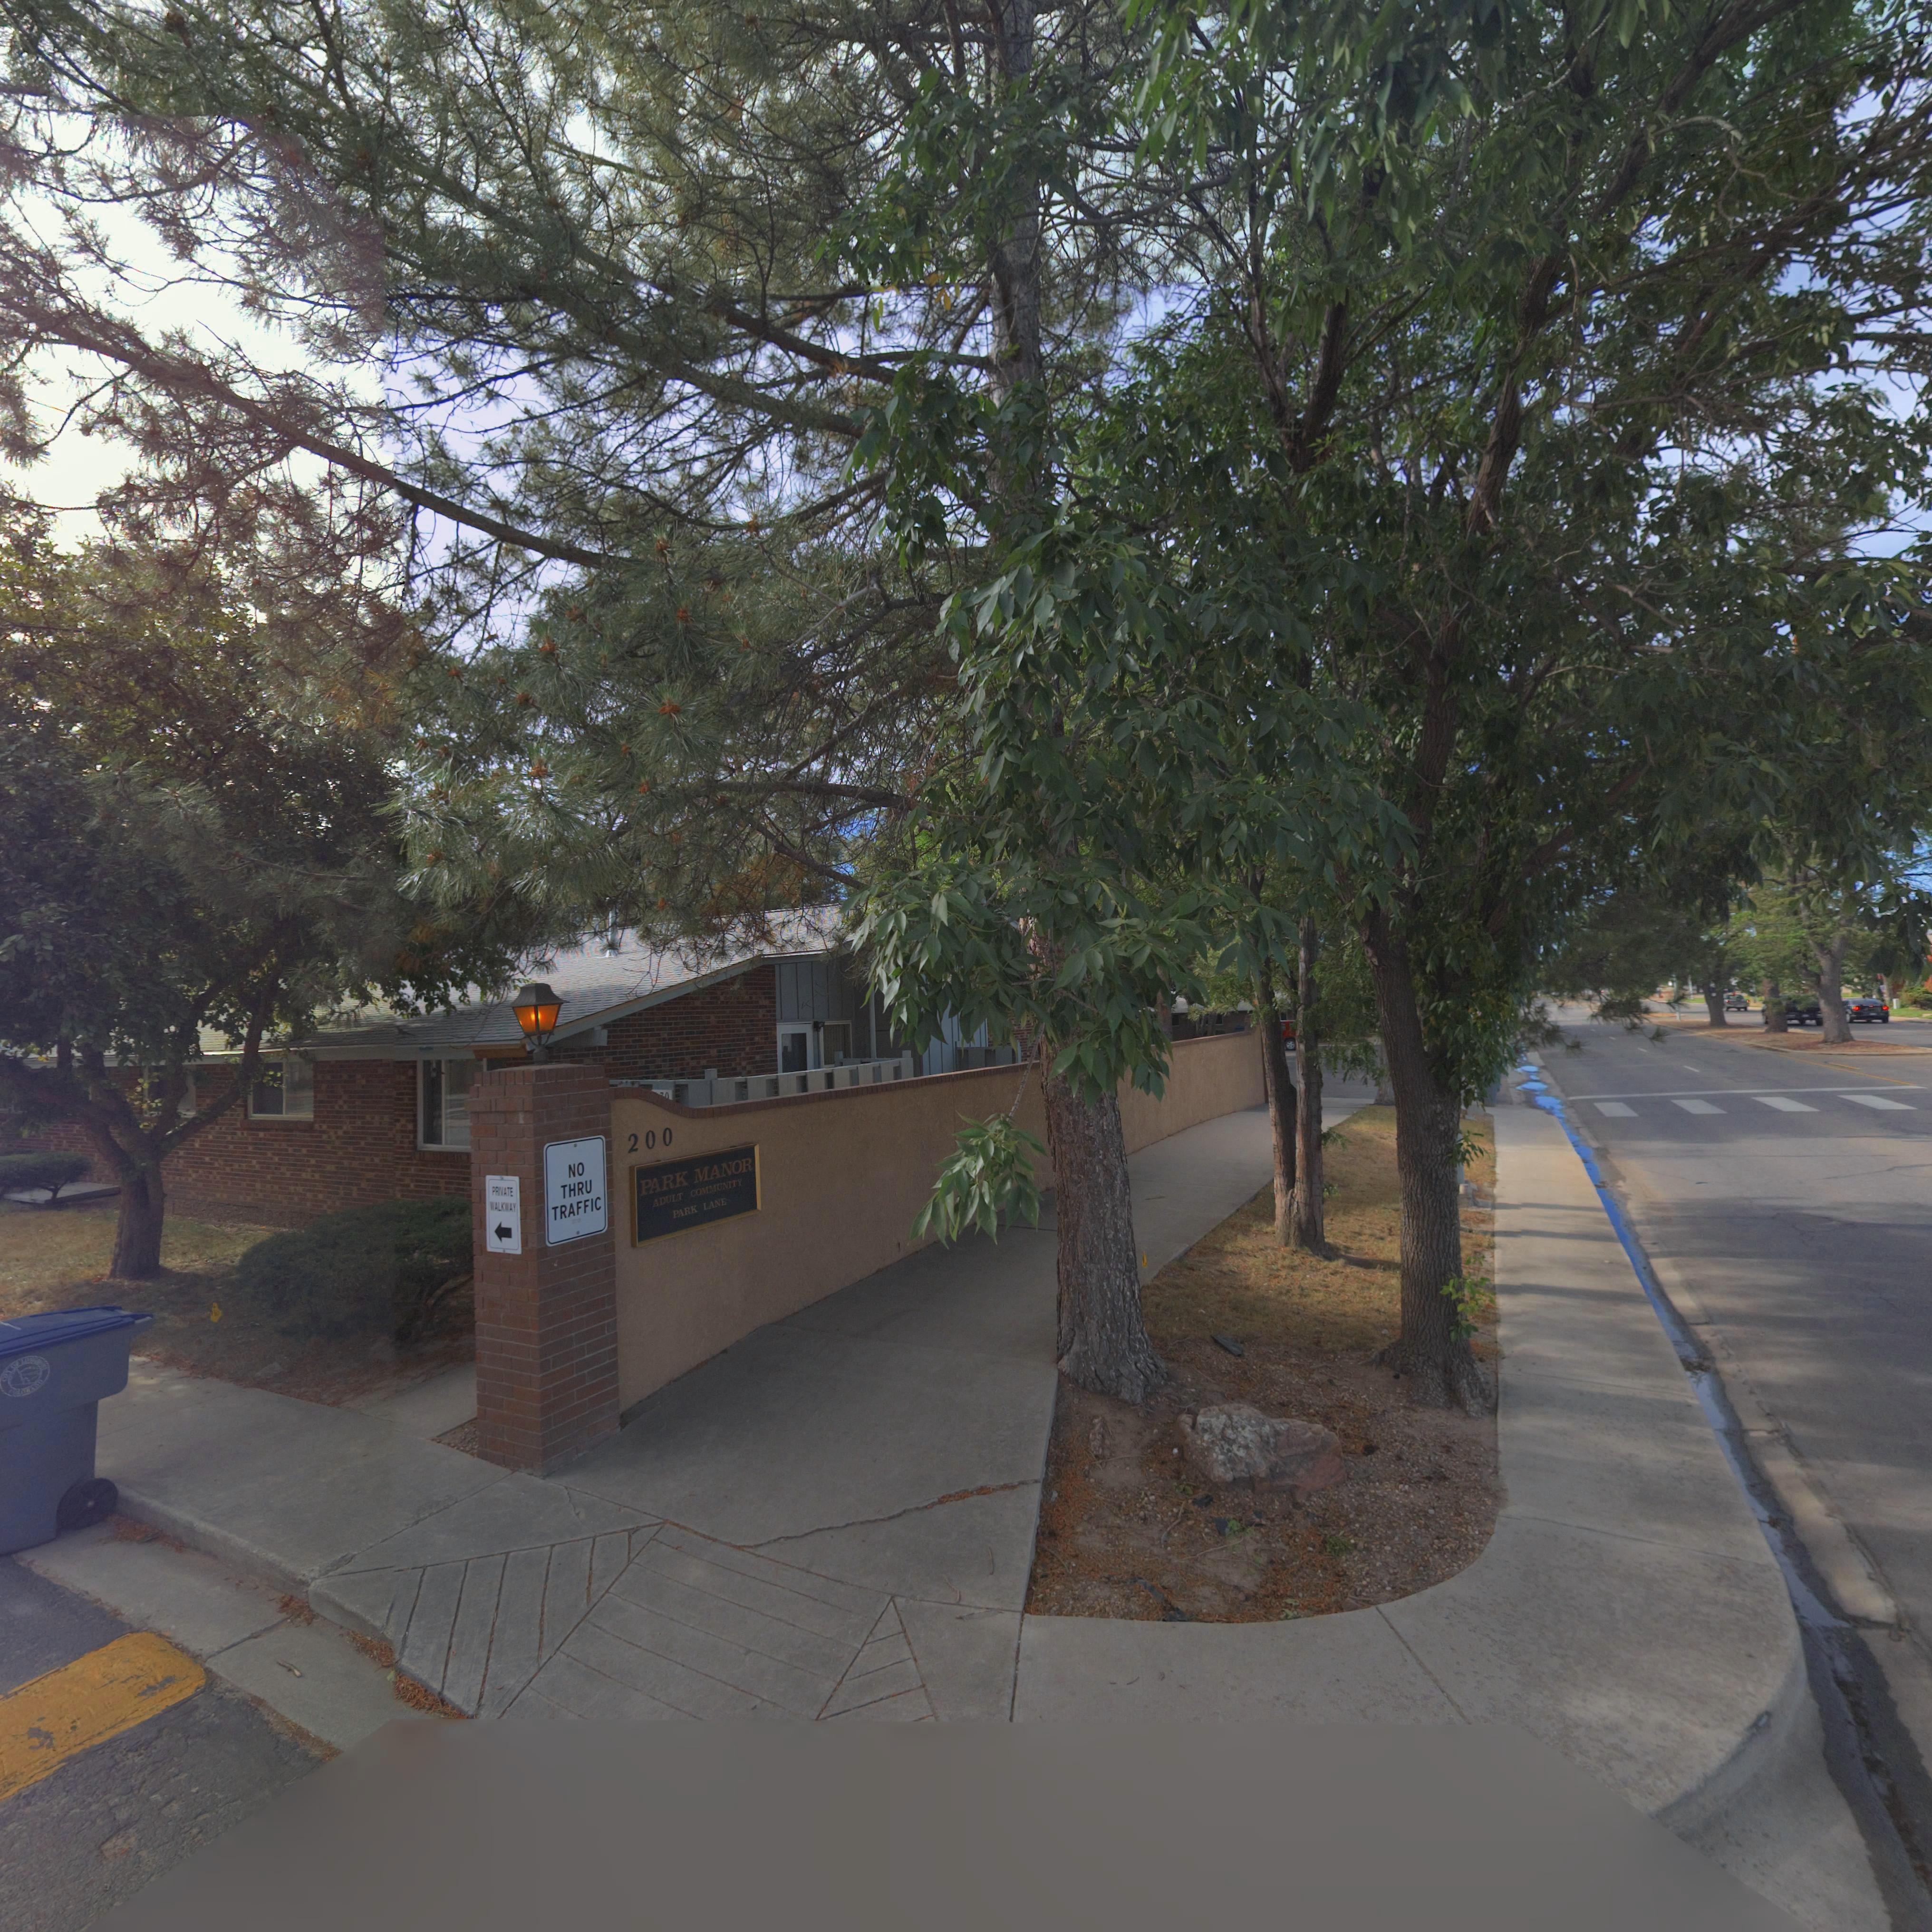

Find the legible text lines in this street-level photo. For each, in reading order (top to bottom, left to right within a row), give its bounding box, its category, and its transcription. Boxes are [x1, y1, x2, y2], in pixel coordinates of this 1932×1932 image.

[628, 1127, 673, 1154] StreetNumber: 200
[639, 1156, 753, 1197] BusinessName: PARK MANOR